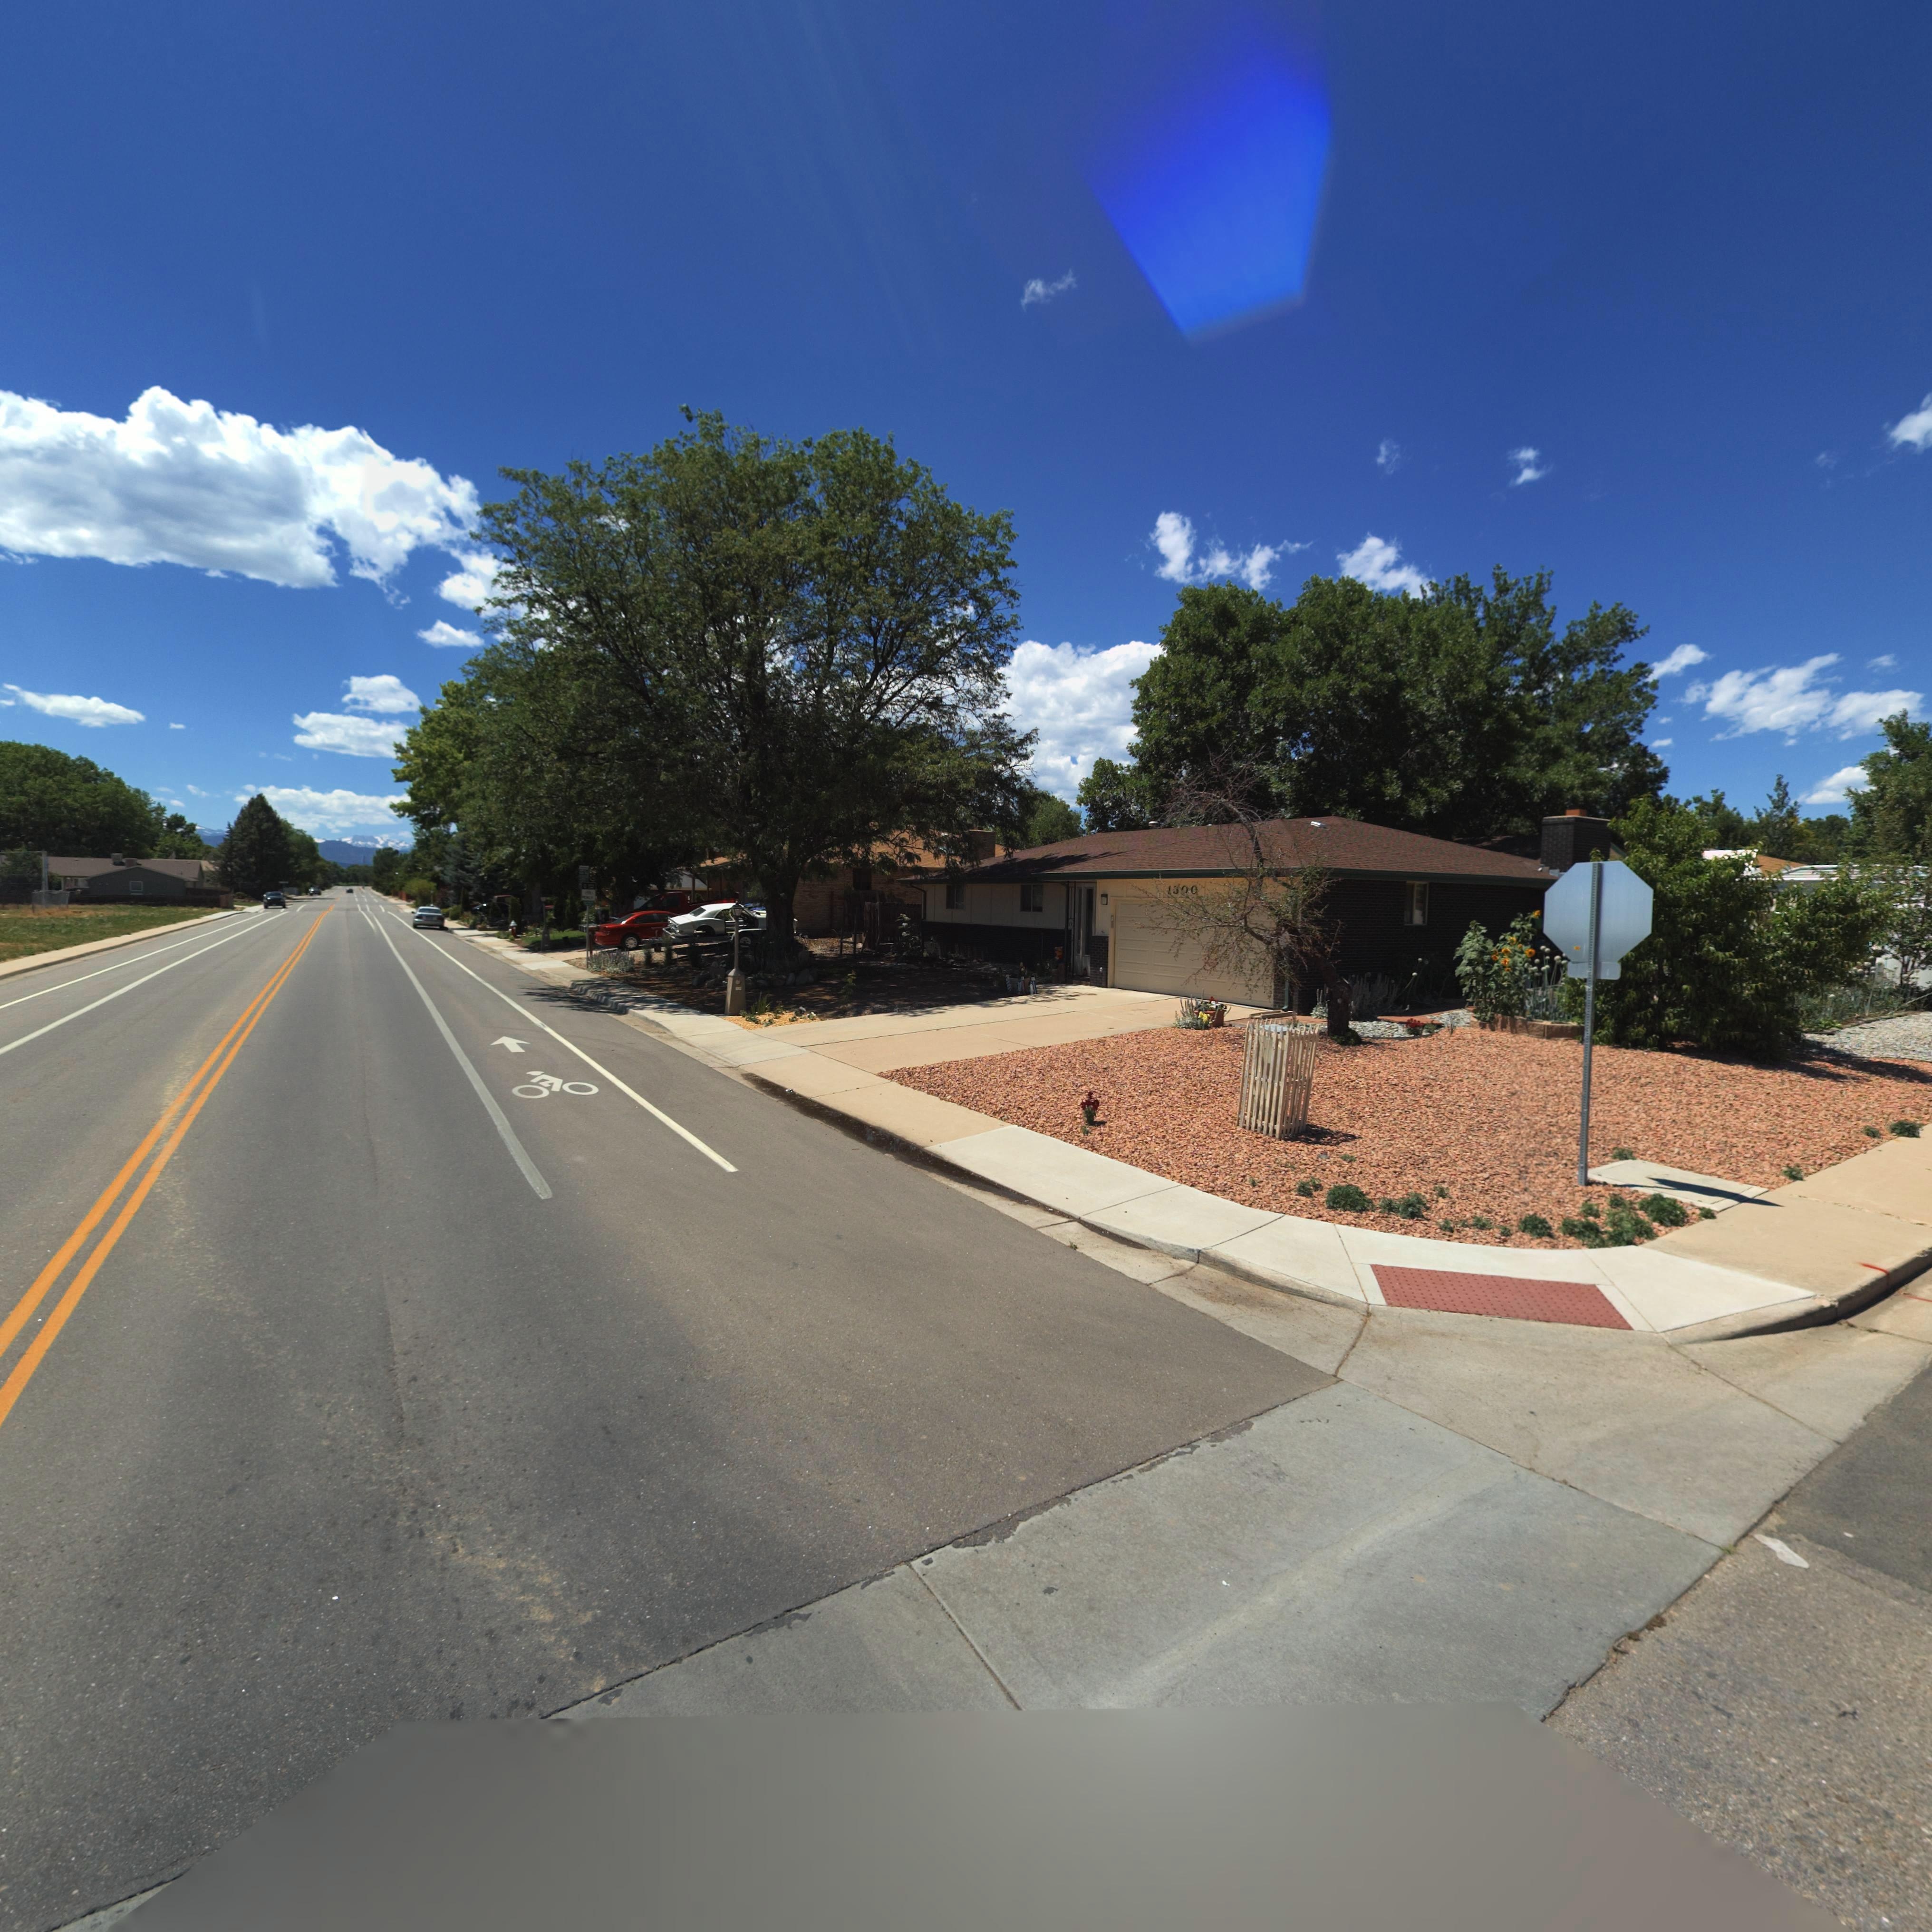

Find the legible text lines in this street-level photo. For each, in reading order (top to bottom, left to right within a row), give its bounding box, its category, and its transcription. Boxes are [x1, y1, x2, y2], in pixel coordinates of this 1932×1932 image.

[1167, 884, 1200, 895] StreetNumber: 1*00